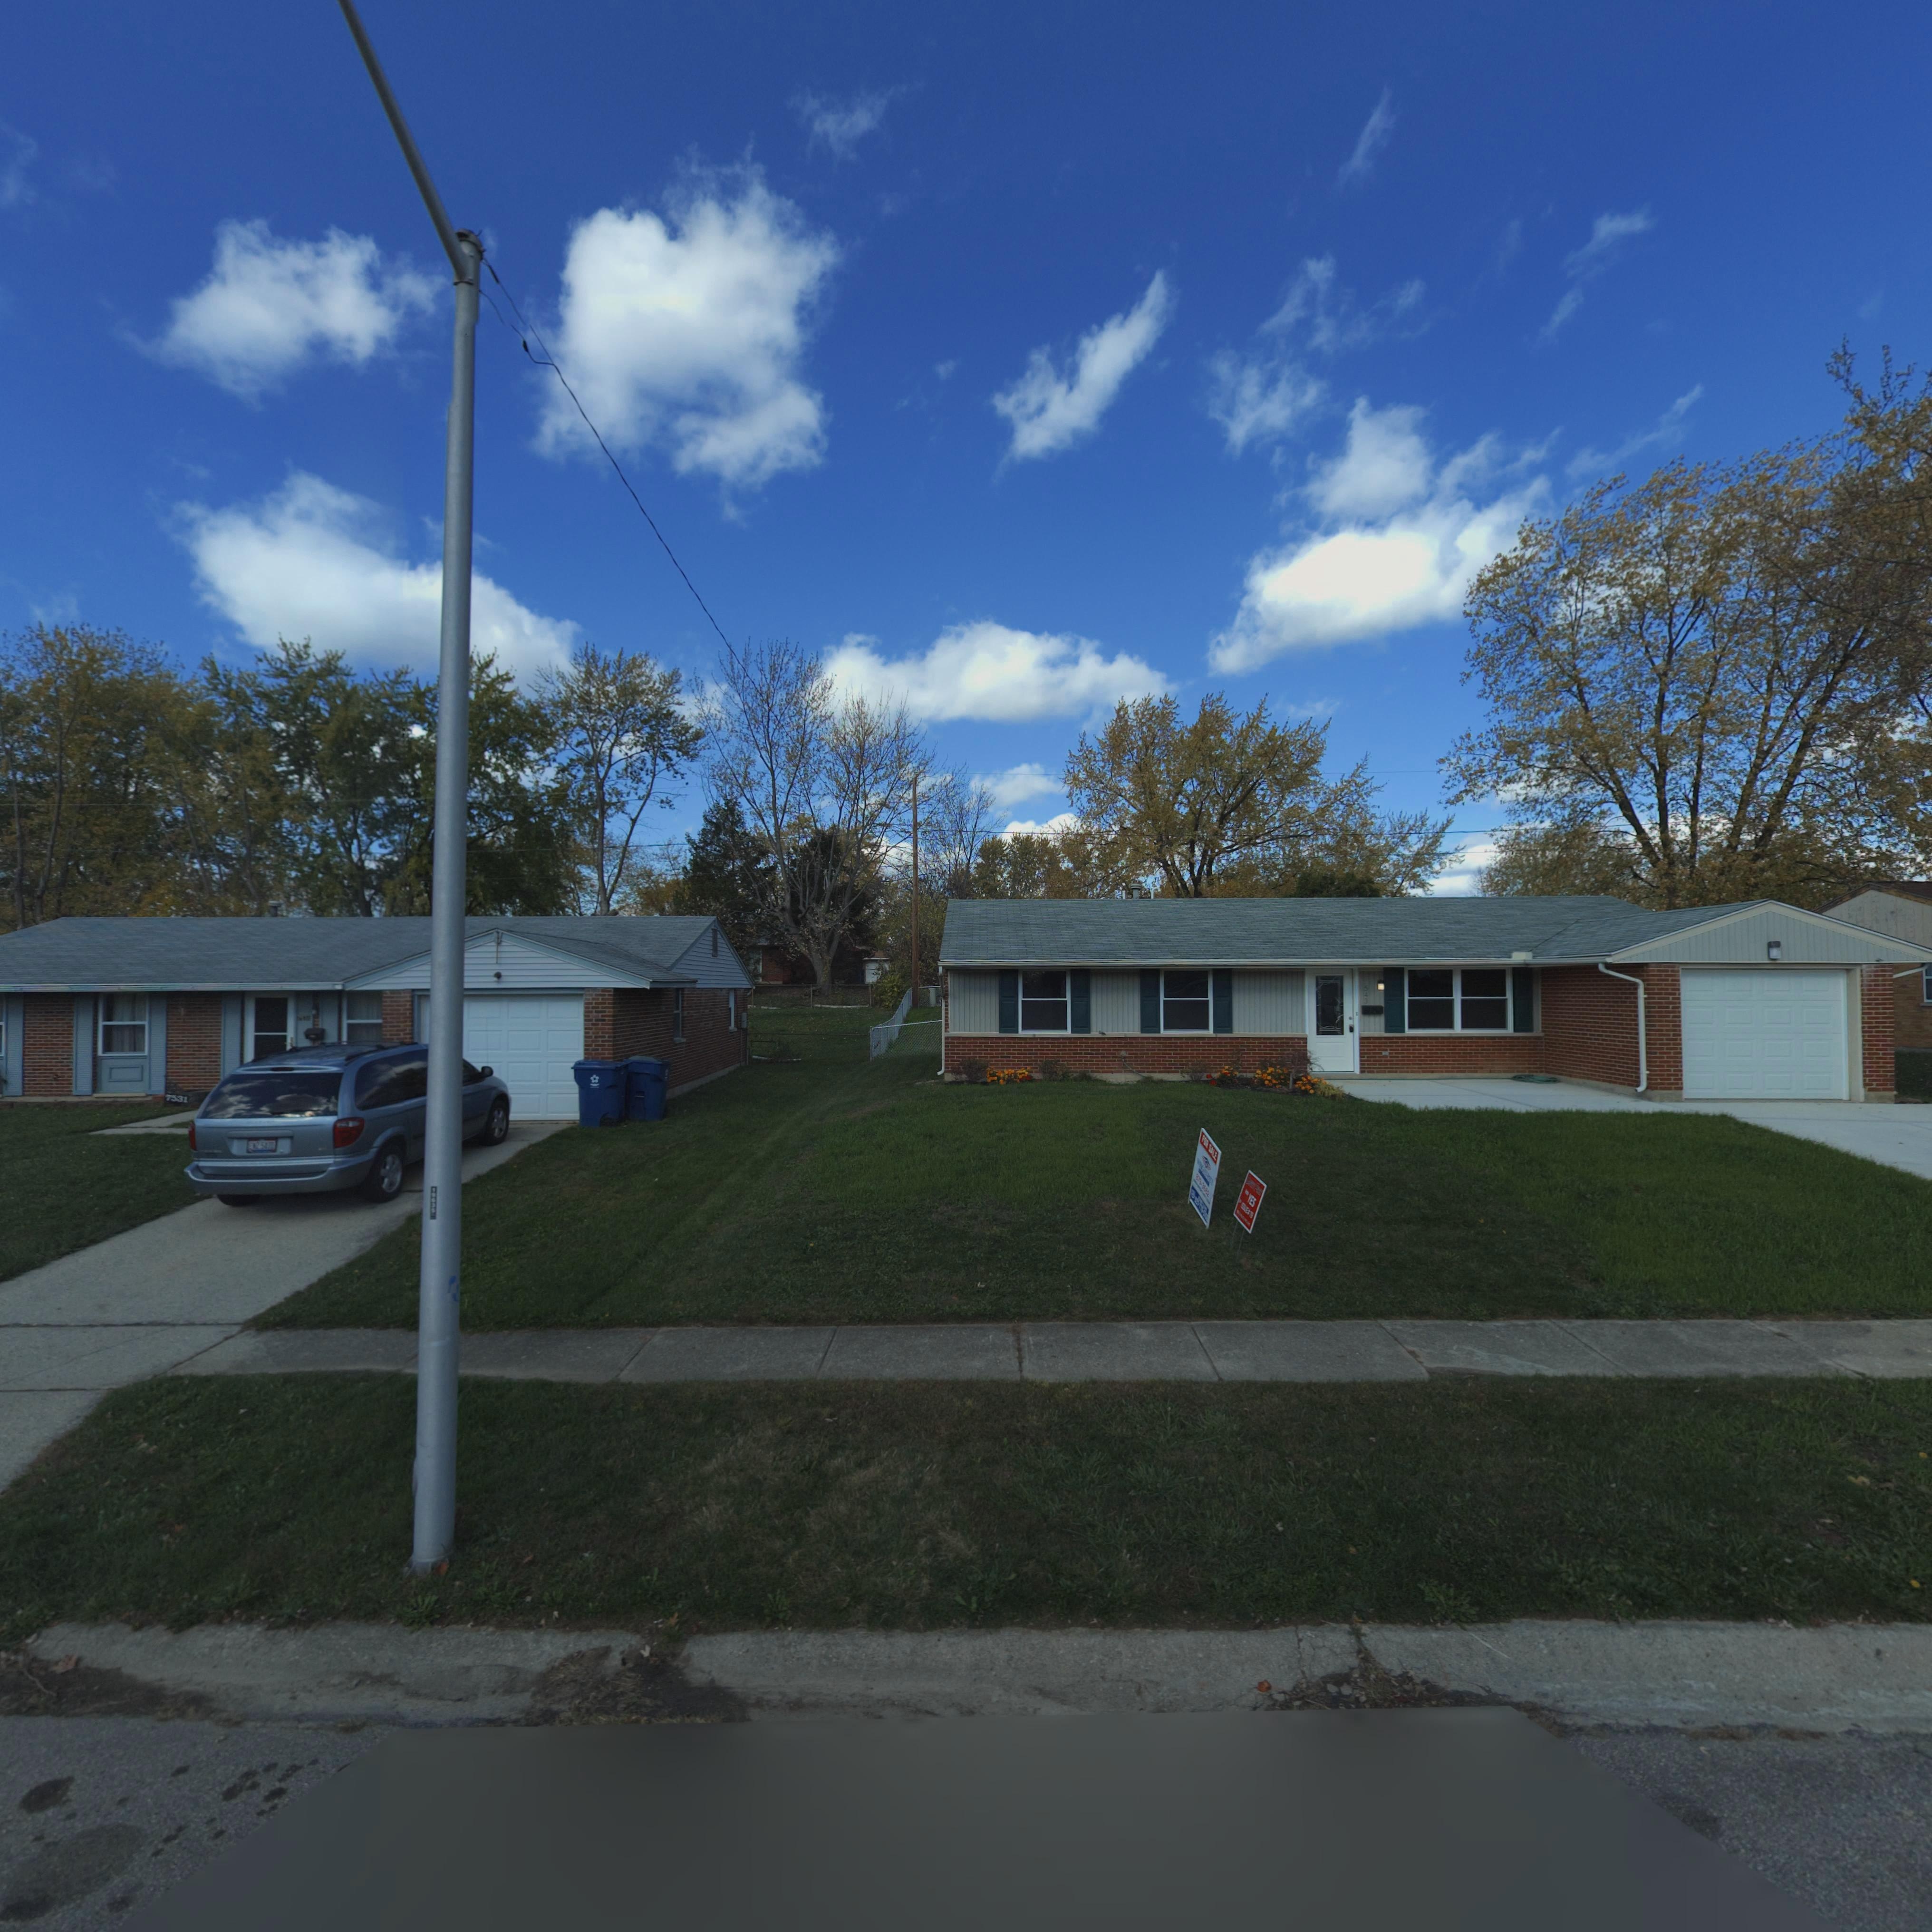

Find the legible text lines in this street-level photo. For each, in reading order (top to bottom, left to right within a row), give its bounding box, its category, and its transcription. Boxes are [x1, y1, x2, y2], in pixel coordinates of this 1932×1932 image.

[1363, 978, 1368, 1004] StreetNumber: 7543
[164, 1093, 189, 1104] StreetNumber: 7531